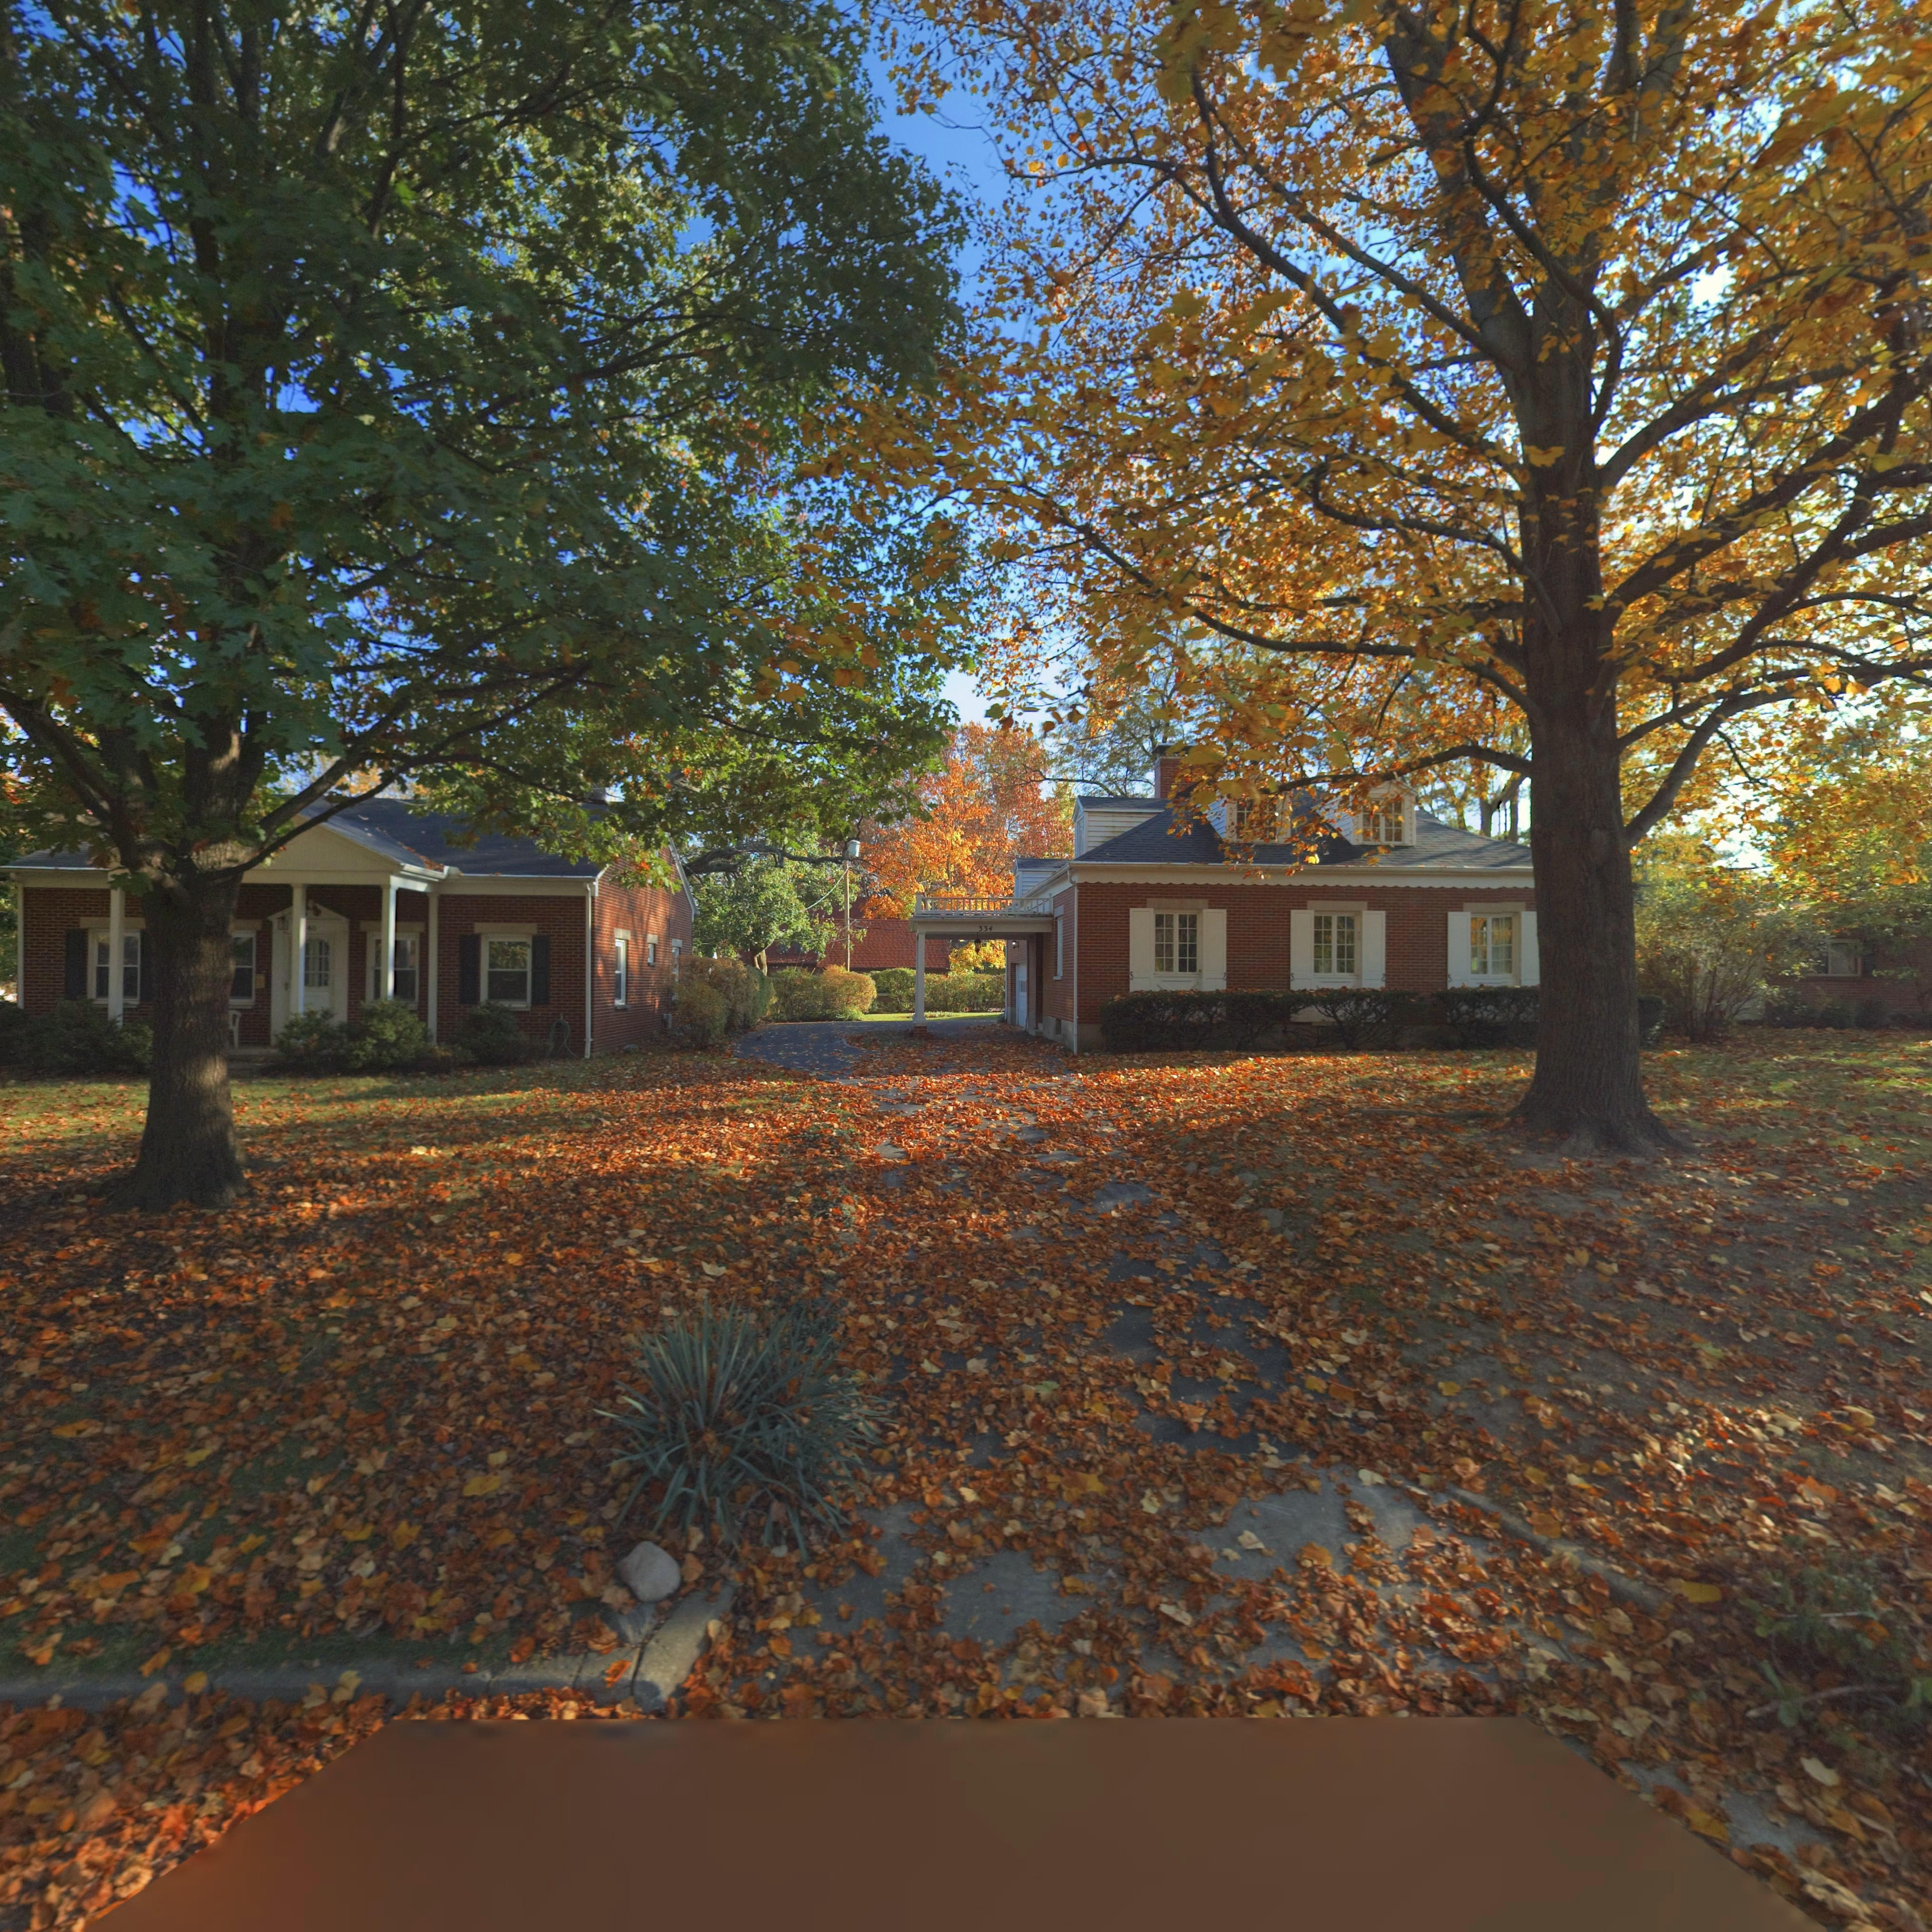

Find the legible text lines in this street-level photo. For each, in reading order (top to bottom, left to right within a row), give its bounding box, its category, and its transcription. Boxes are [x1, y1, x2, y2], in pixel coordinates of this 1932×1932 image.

[306, 924, 318, 932] StreetNumber: 40
[978, 925, 994, 932] StreetNumber: 334